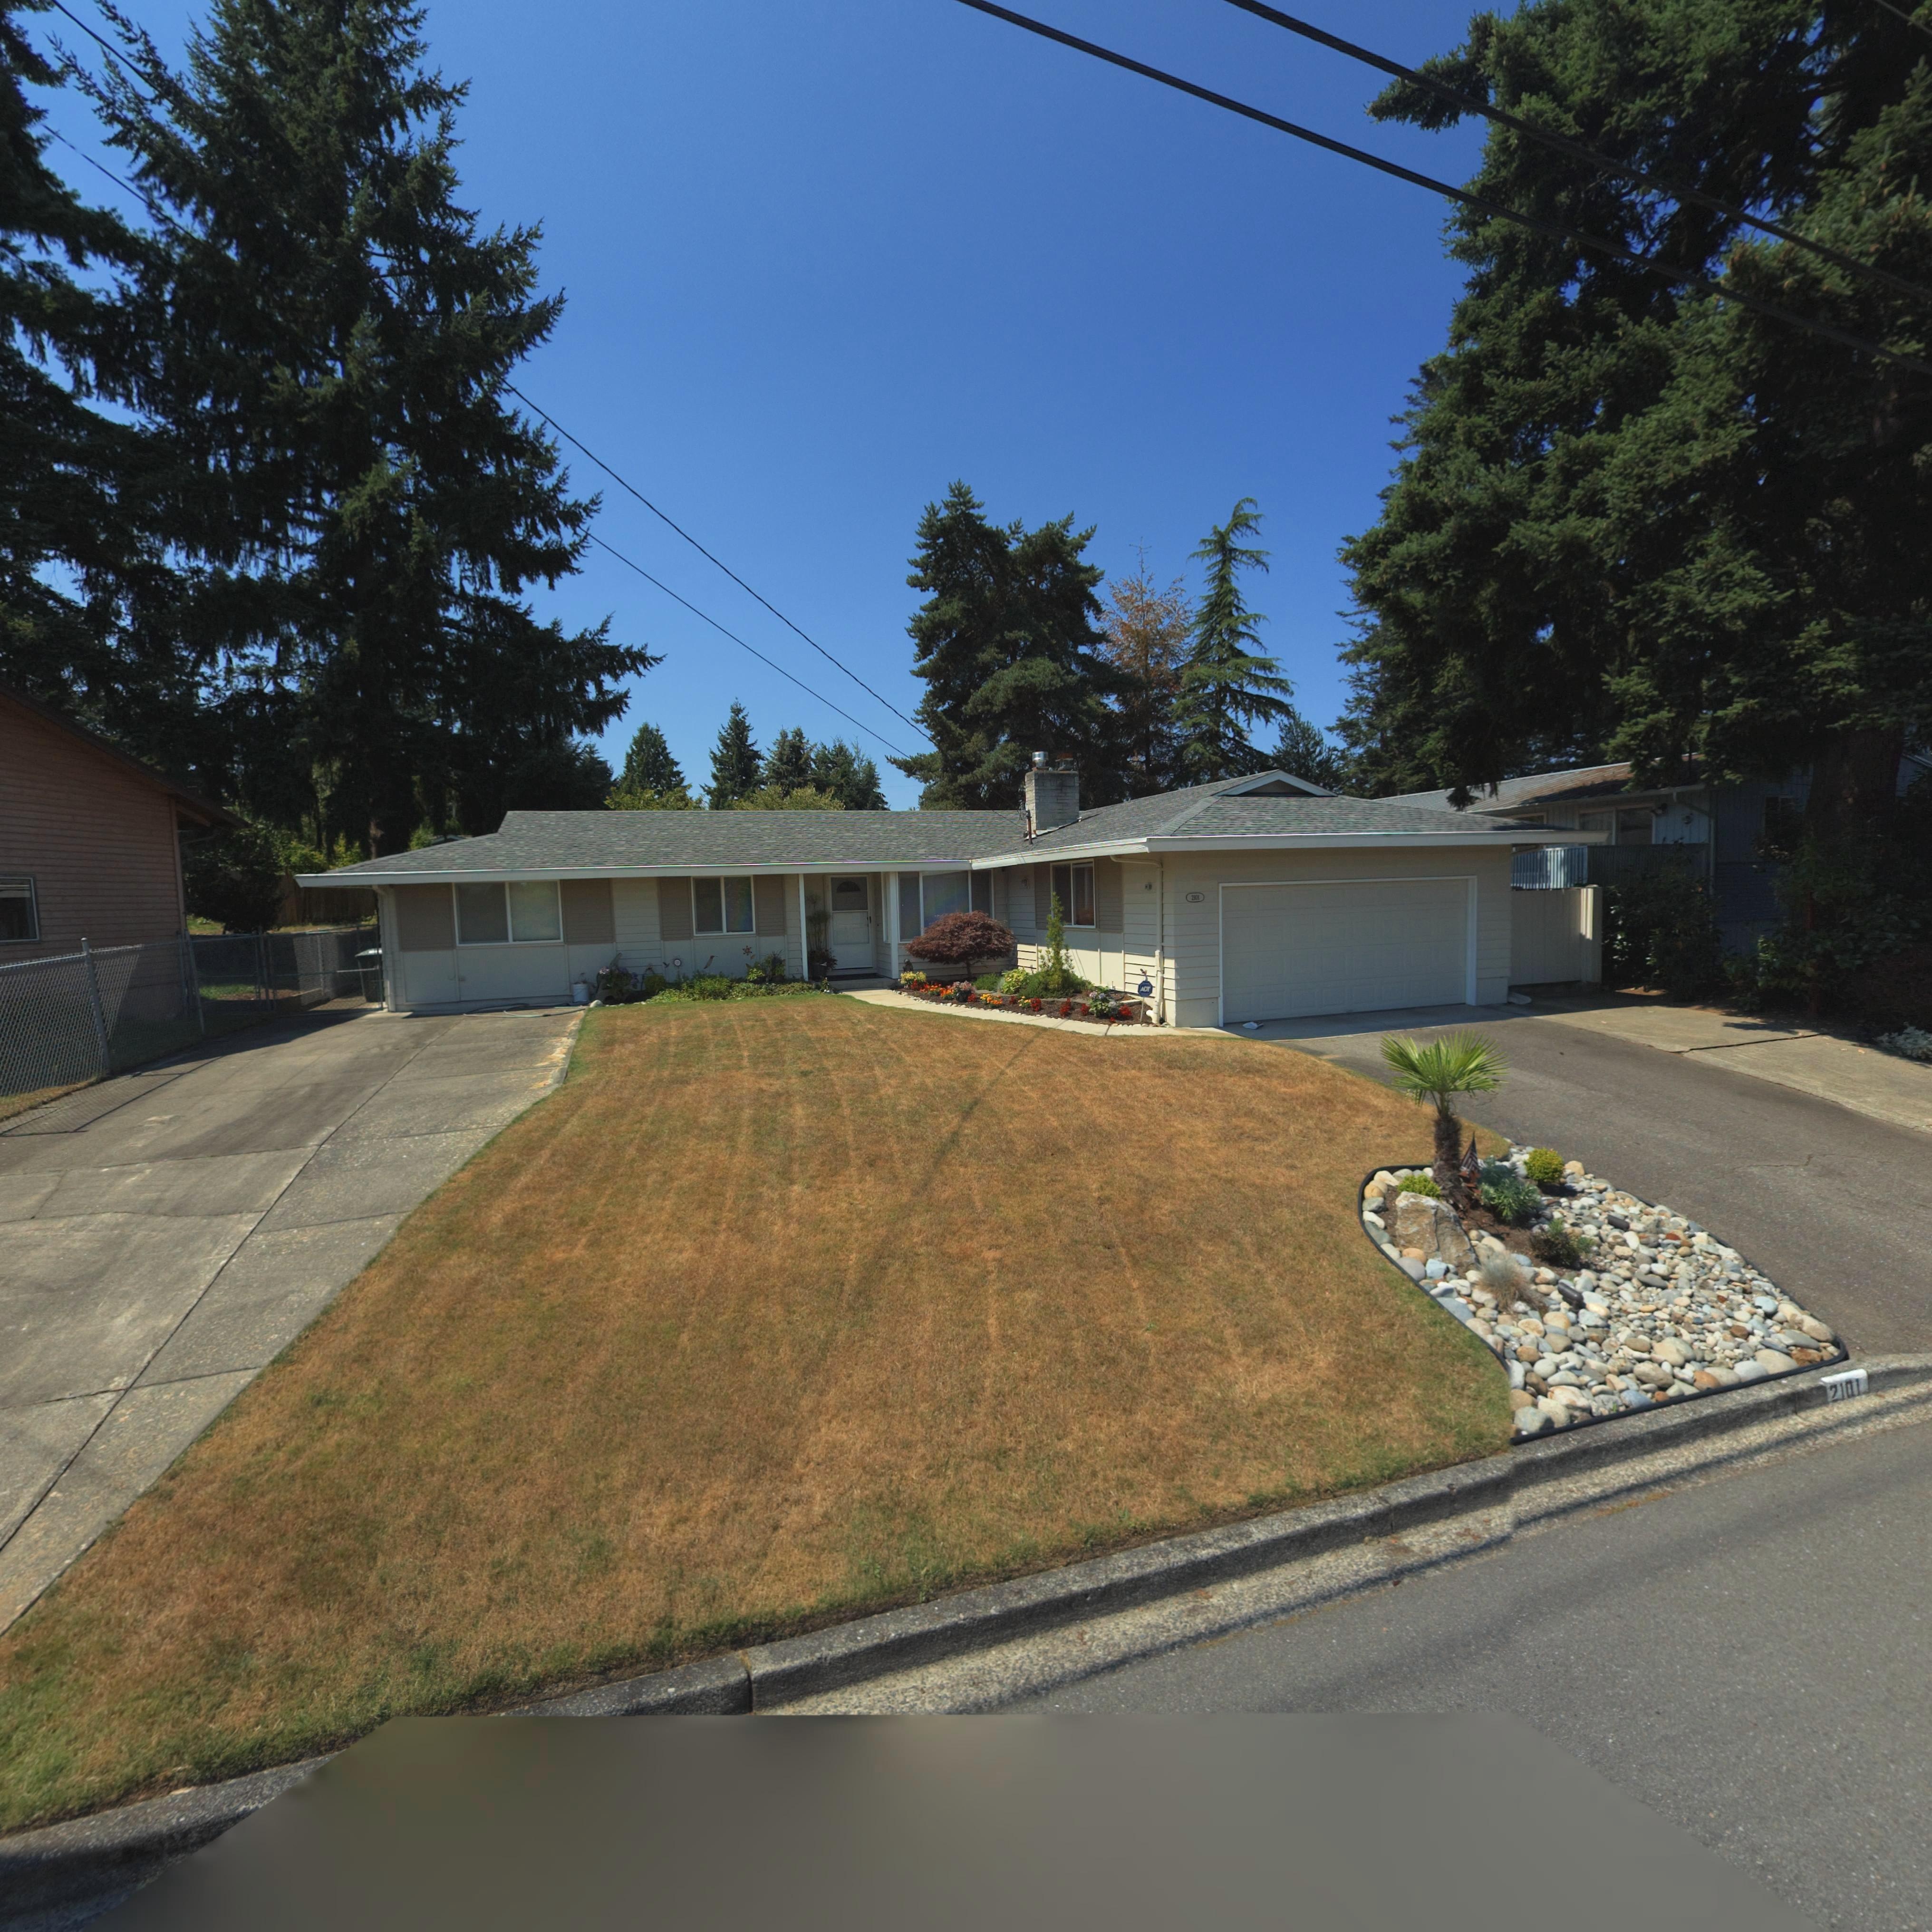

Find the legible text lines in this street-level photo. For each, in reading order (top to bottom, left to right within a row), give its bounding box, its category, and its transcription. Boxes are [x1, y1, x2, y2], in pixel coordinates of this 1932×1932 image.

[1191, 895, 1199, 900] StreetNumber: 2101
[1827, 1375, 1862, 1402] StreetNumber: 2101